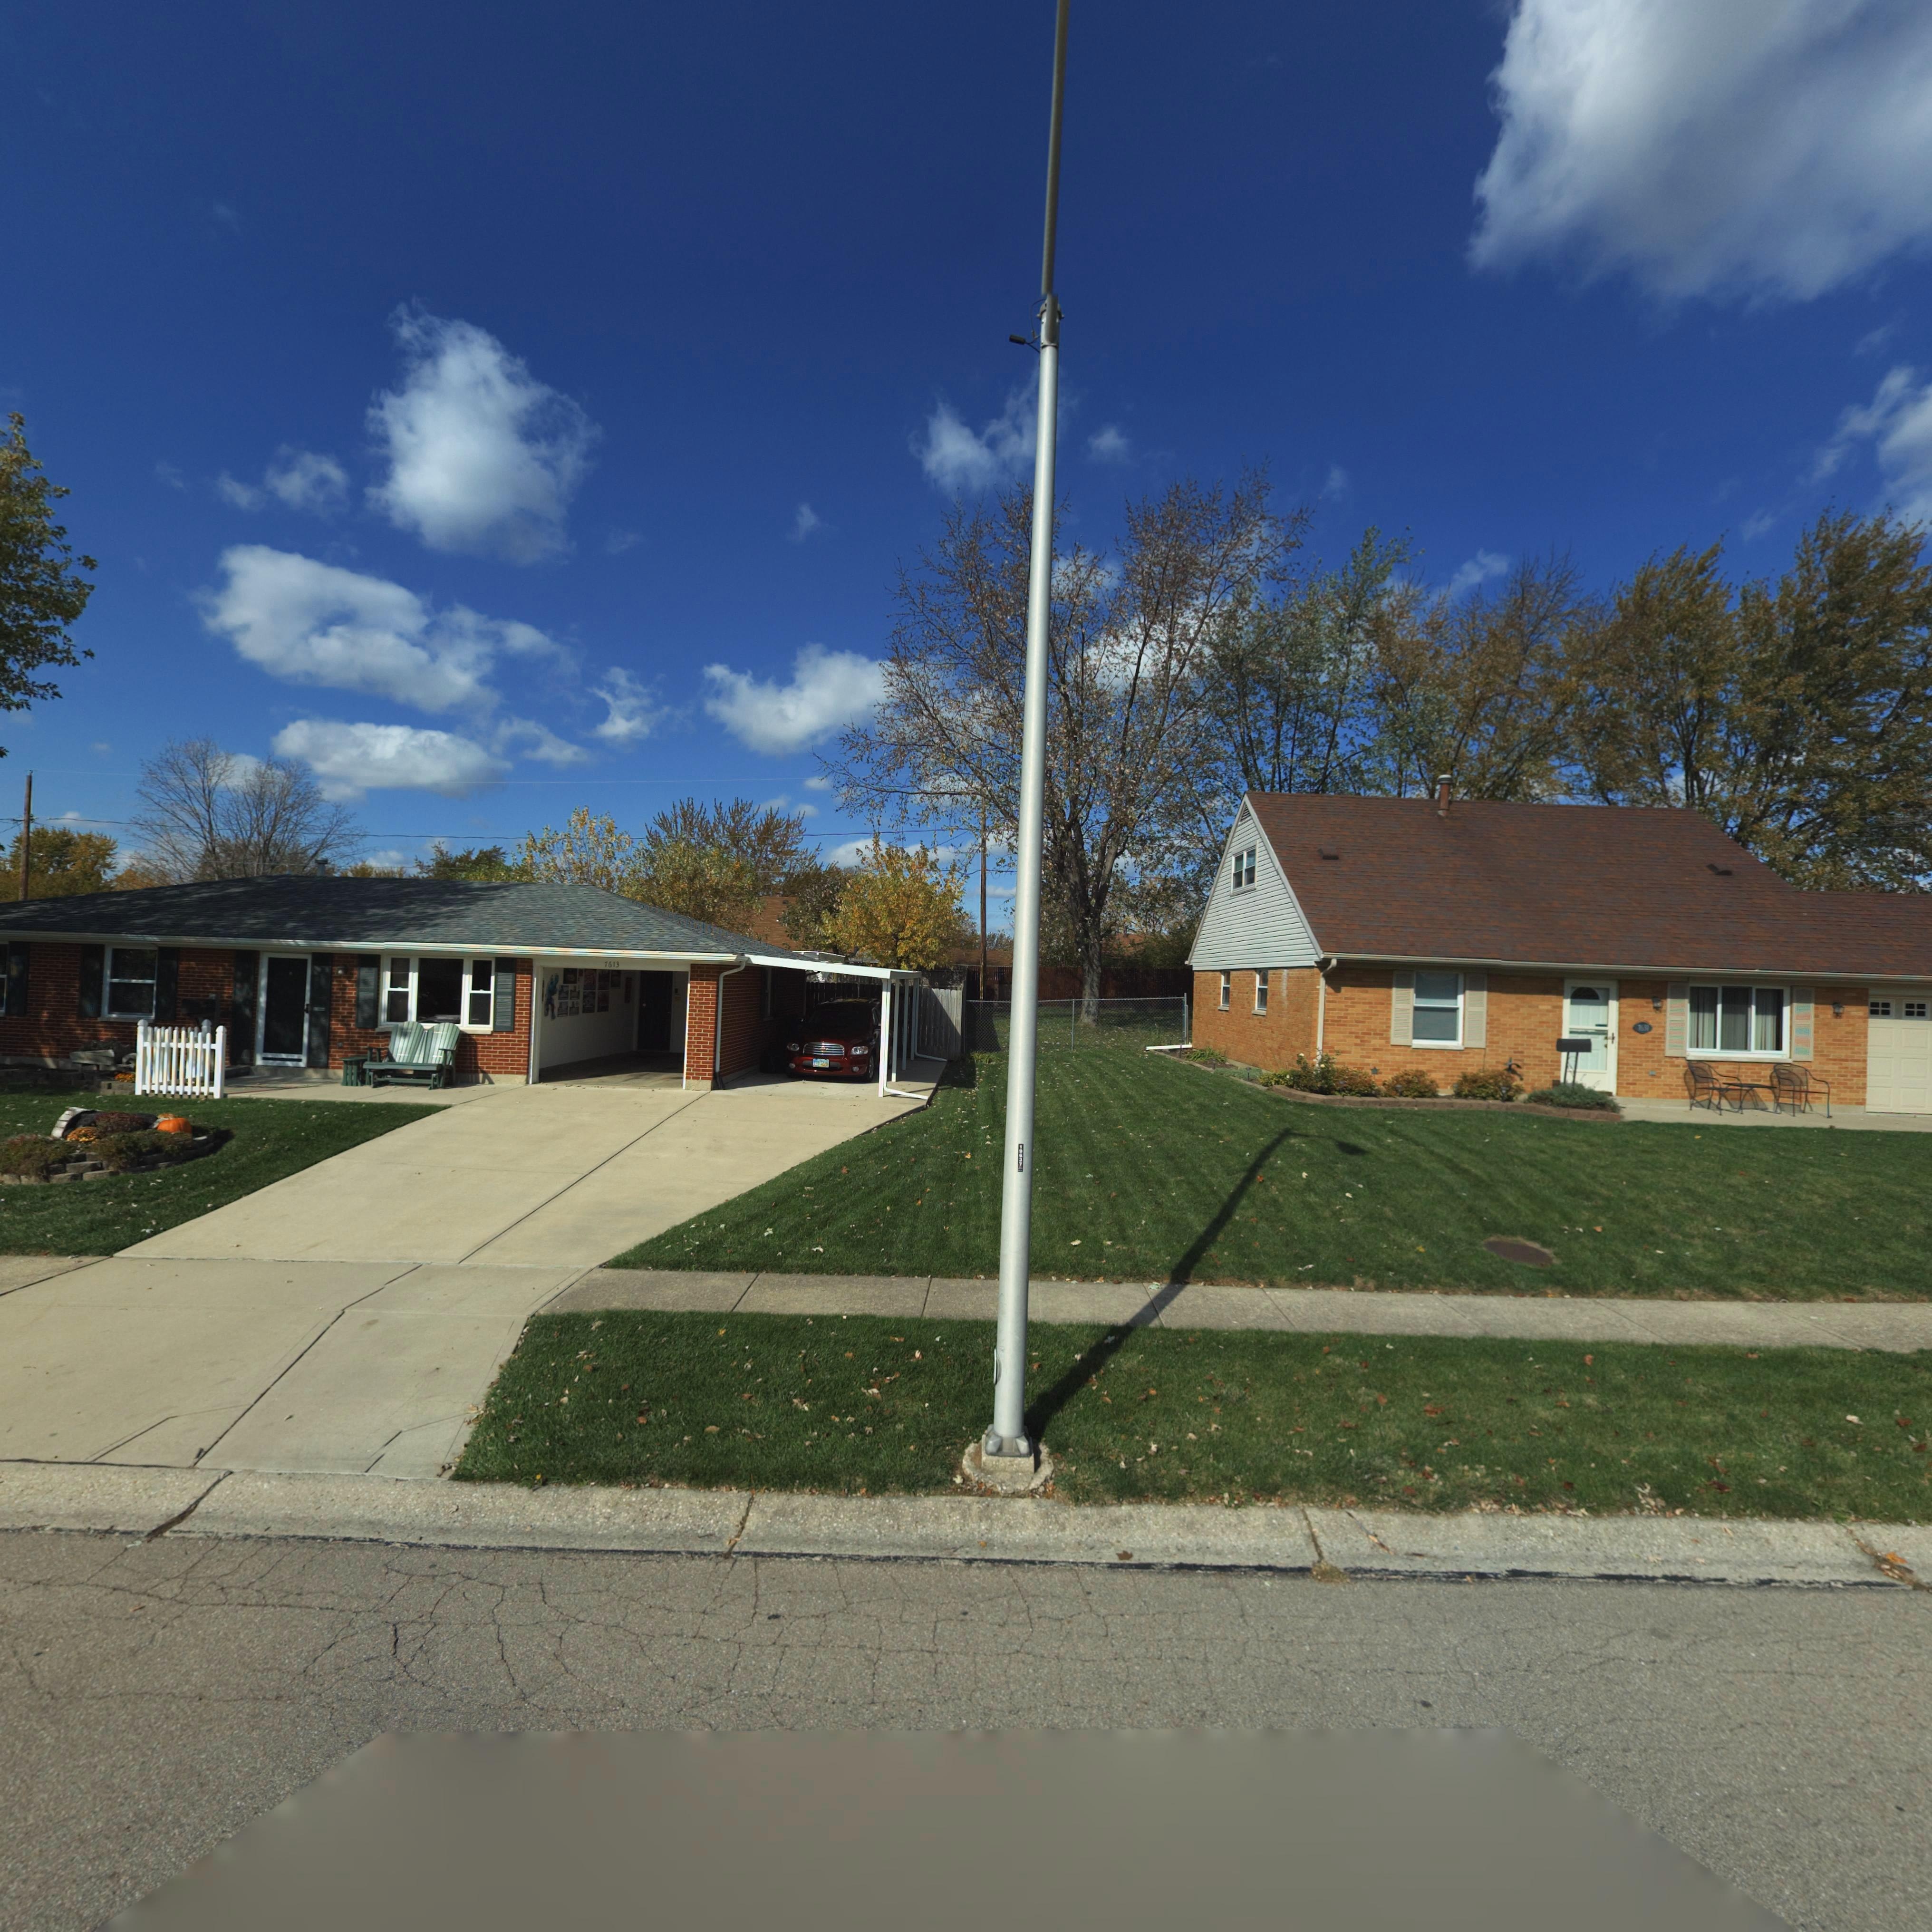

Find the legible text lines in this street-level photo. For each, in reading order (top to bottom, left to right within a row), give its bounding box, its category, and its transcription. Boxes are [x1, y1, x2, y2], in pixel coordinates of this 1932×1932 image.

[604, 961, 620, 968] StreetNumber: 7613
[1637, 1024, 1650, 1032] StreetNumber: 7631